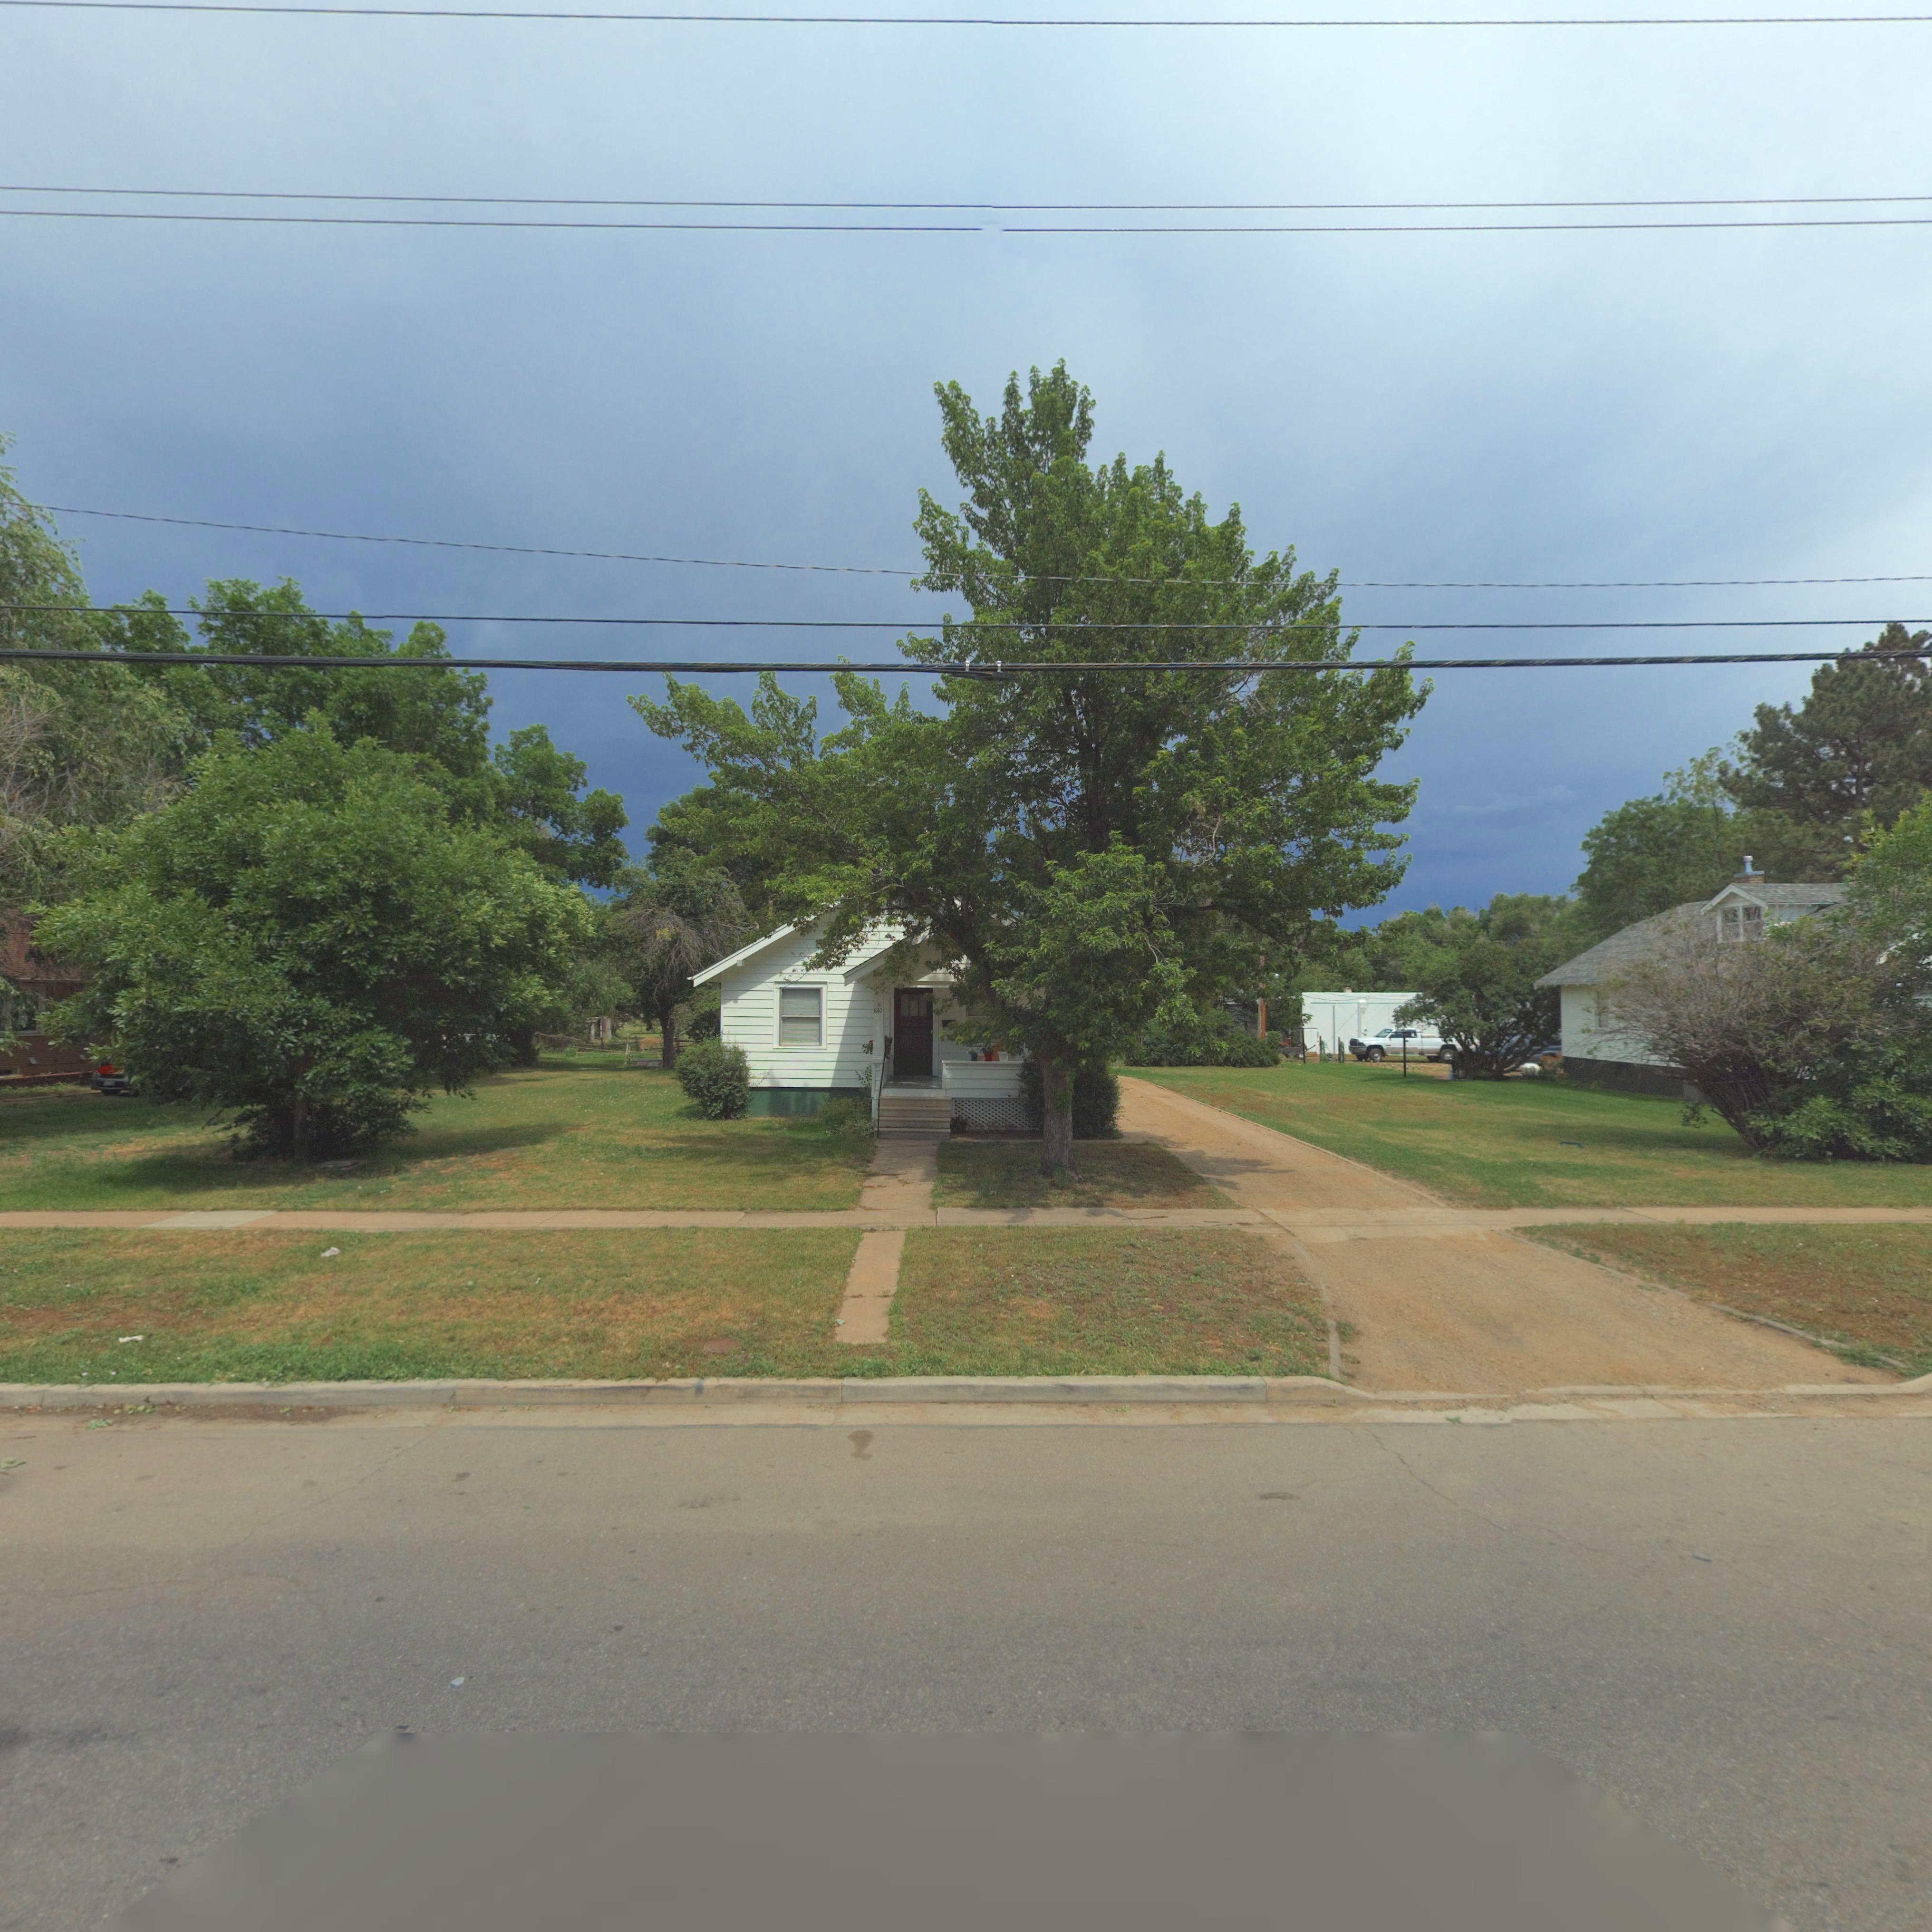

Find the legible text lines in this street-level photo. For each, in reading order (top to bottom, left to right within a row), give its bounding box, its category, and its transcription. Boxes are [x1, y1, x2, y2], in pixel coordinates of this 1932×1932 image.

[874, 1008, 882, 1014] StreetNumber: 840